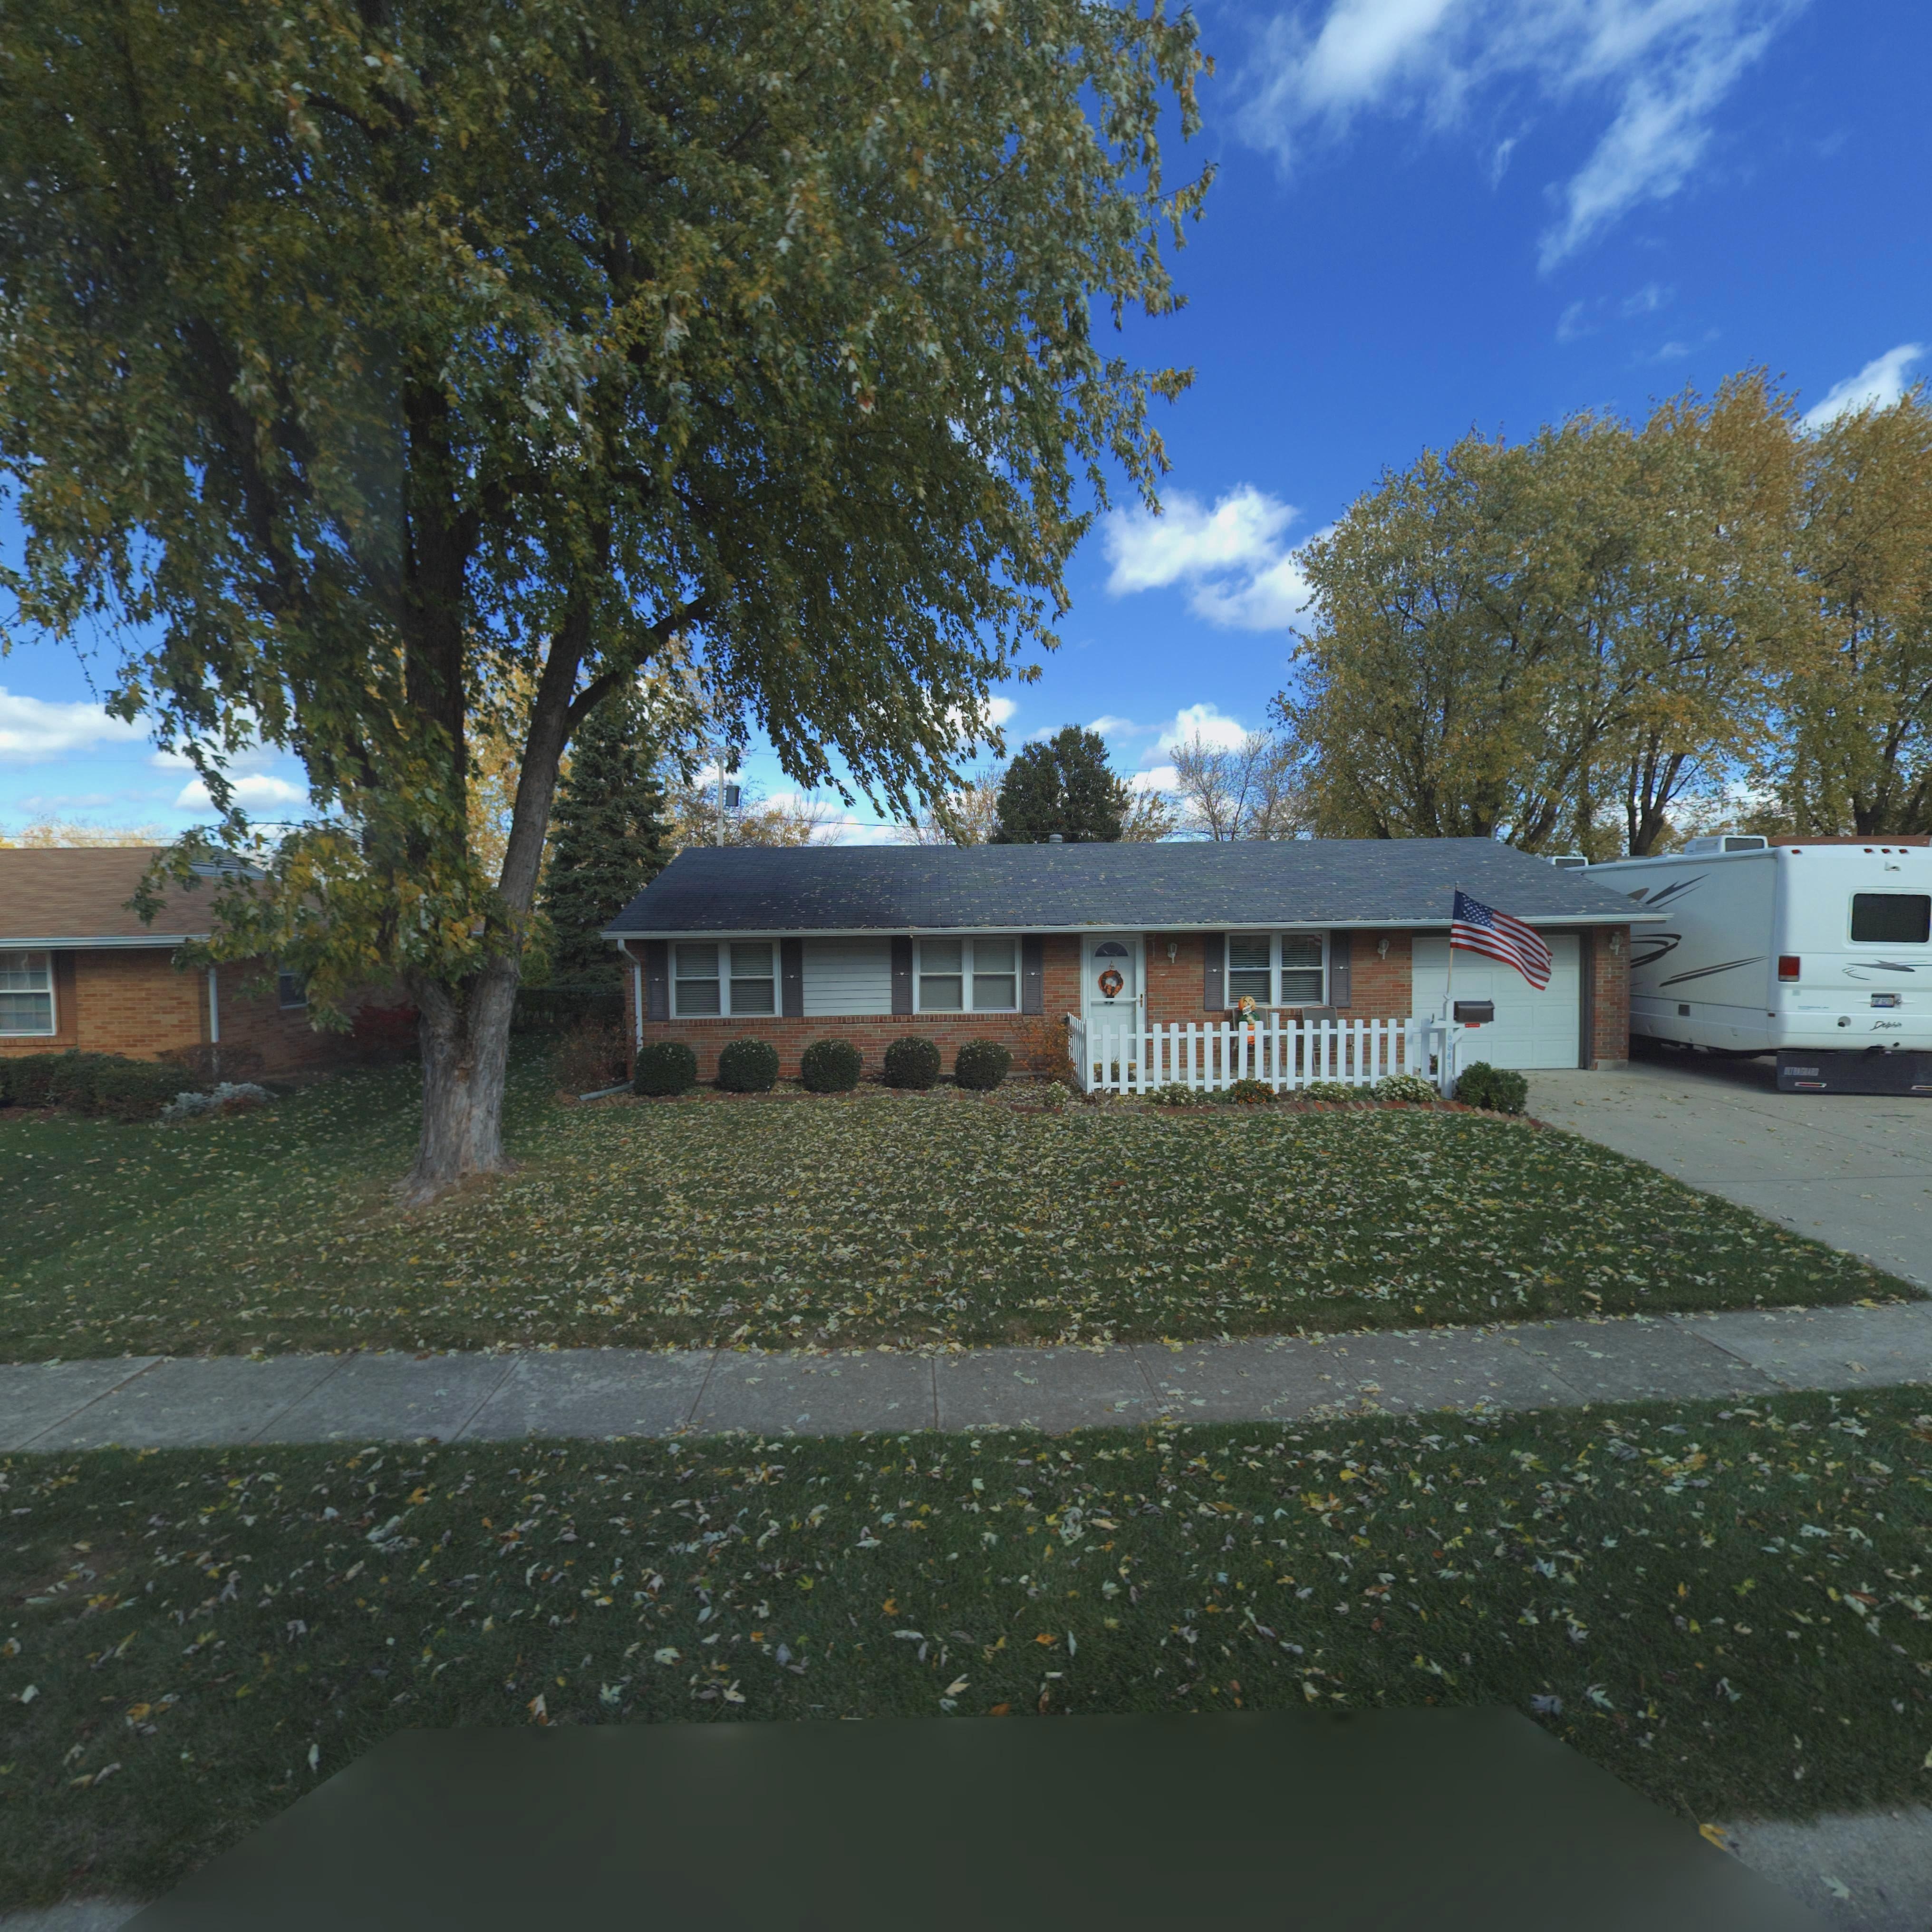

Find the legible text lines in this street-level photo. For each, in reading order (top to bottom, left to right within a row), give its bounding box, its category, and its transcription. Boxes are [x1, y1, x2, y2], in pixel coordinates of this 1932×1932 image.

[1446, 1030, 1453, 1072] StreetNumber: 6843